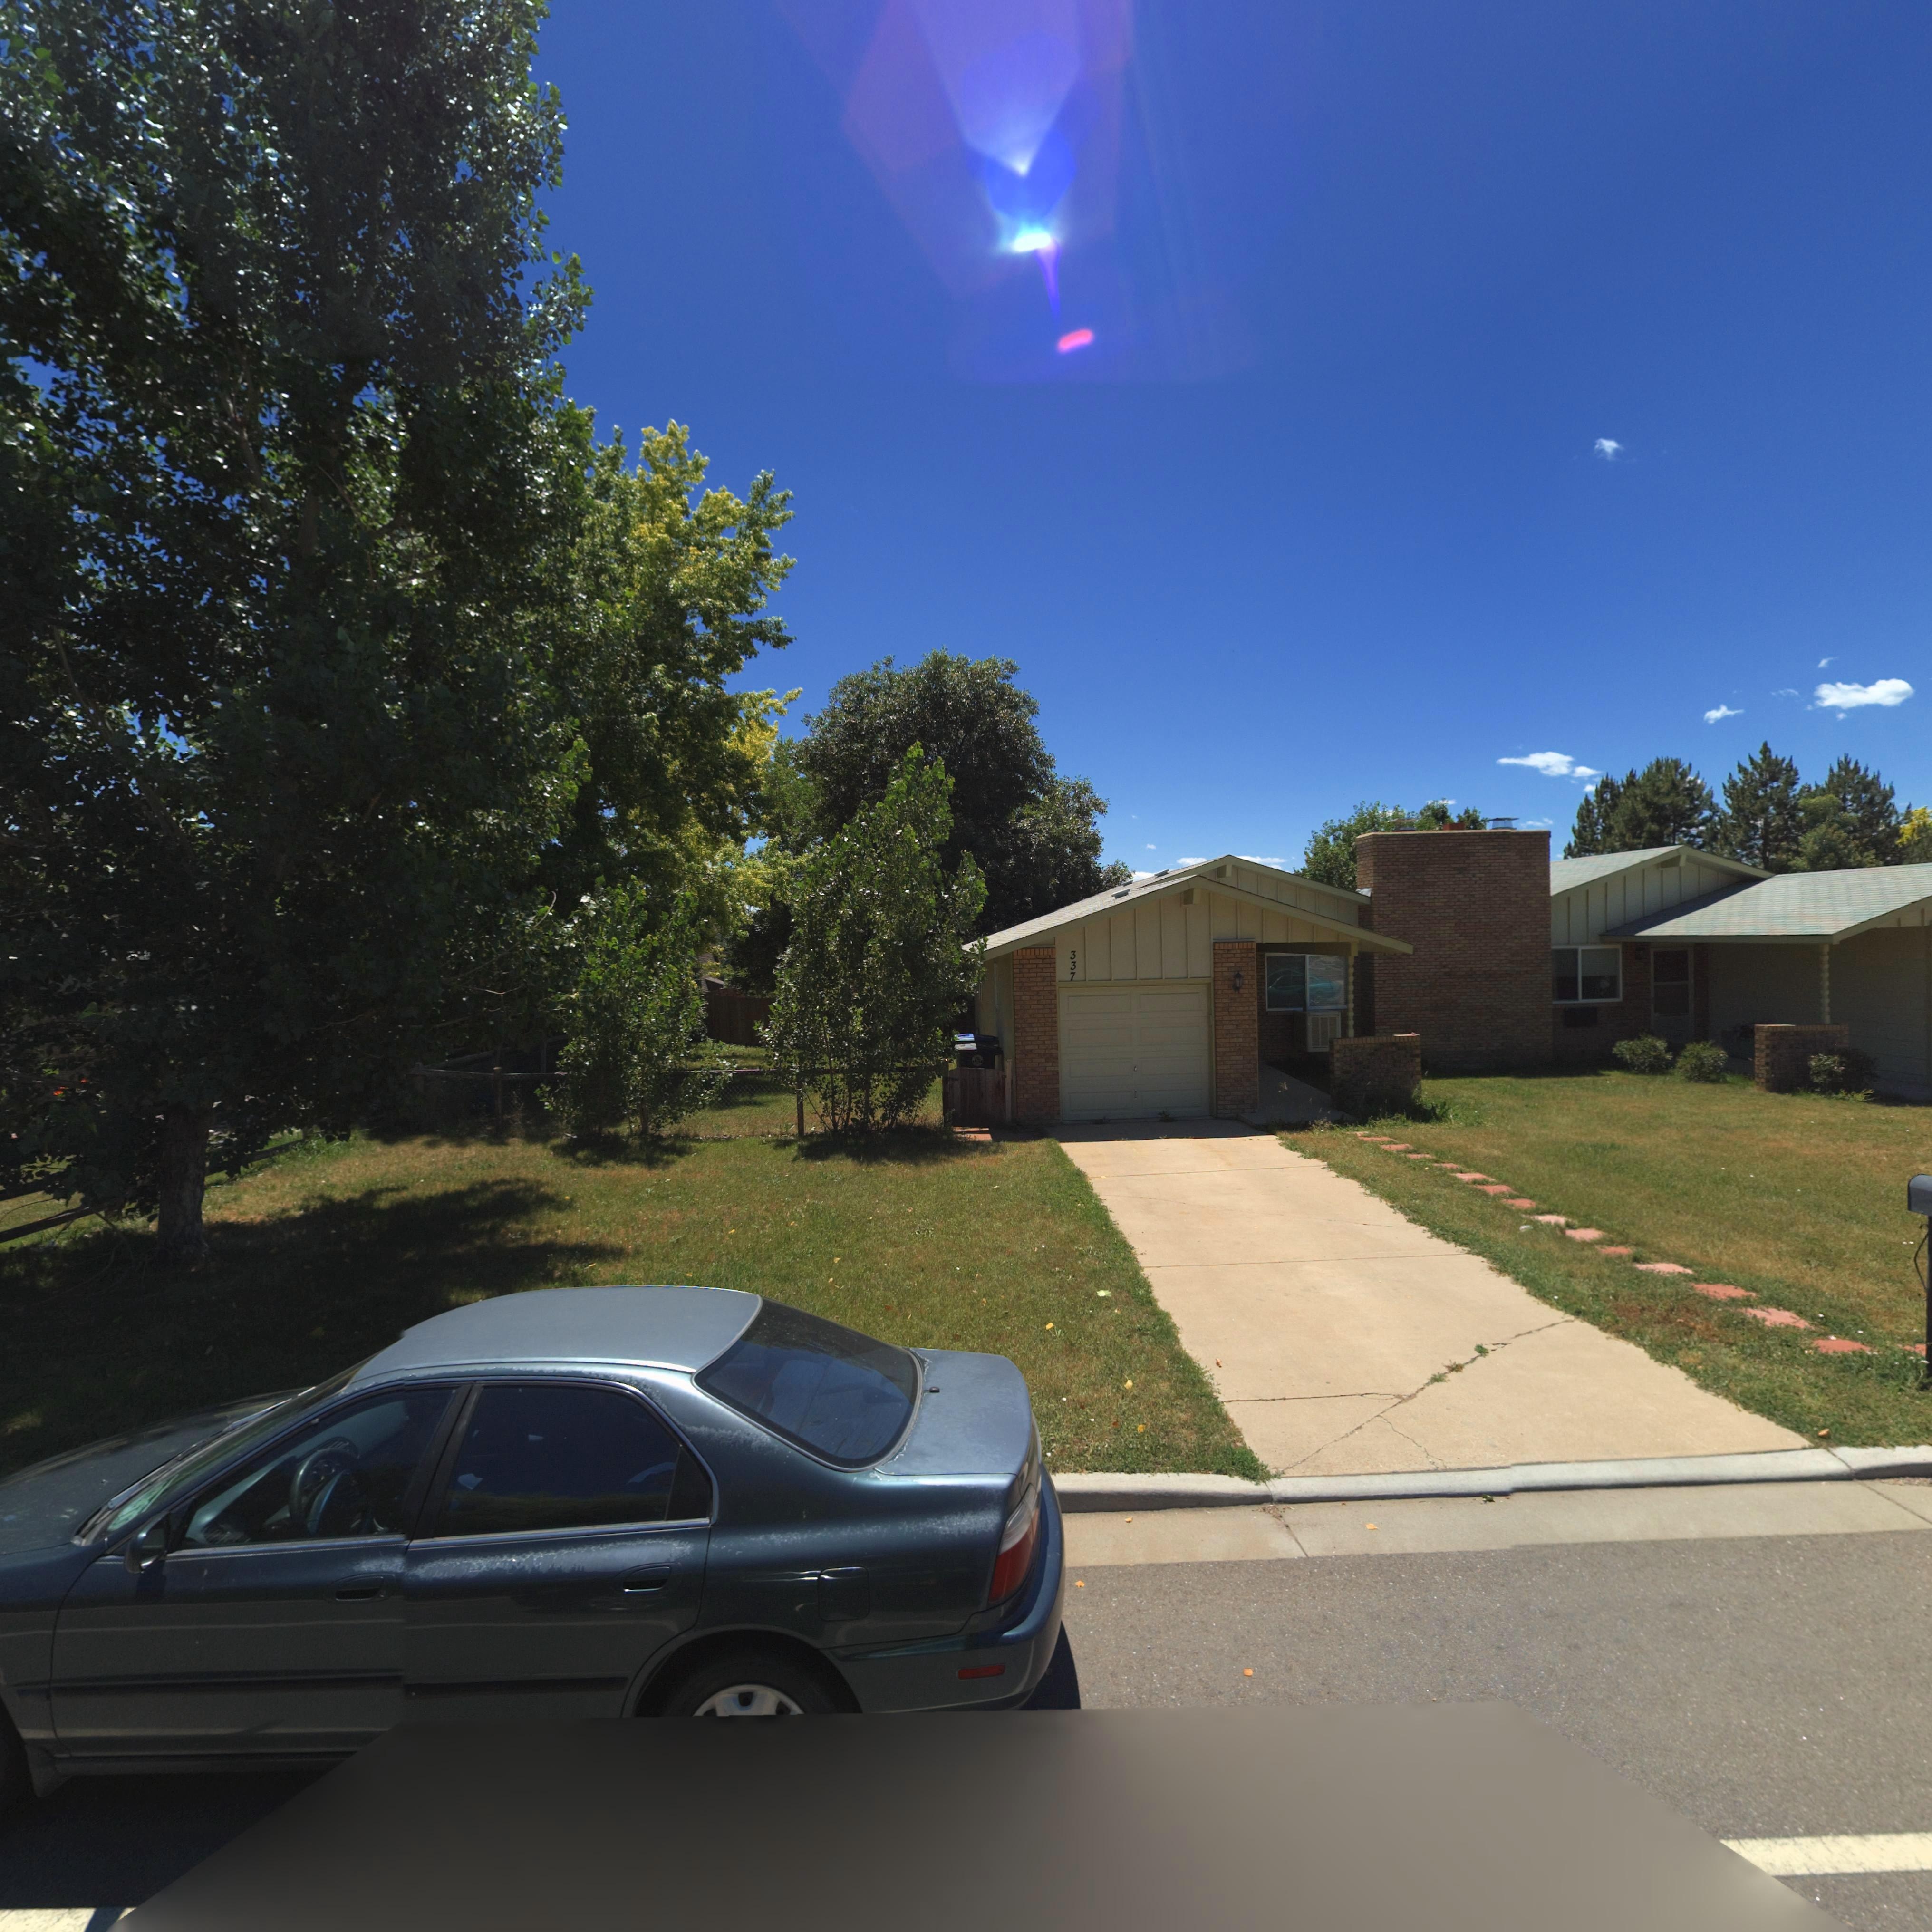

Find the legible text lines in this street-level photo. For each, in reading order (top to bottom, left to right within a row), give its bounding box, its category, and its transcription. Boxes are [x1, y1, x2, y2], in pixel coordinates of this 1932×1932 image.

[1069, 950, 1076, 981] StreetNumber: 337